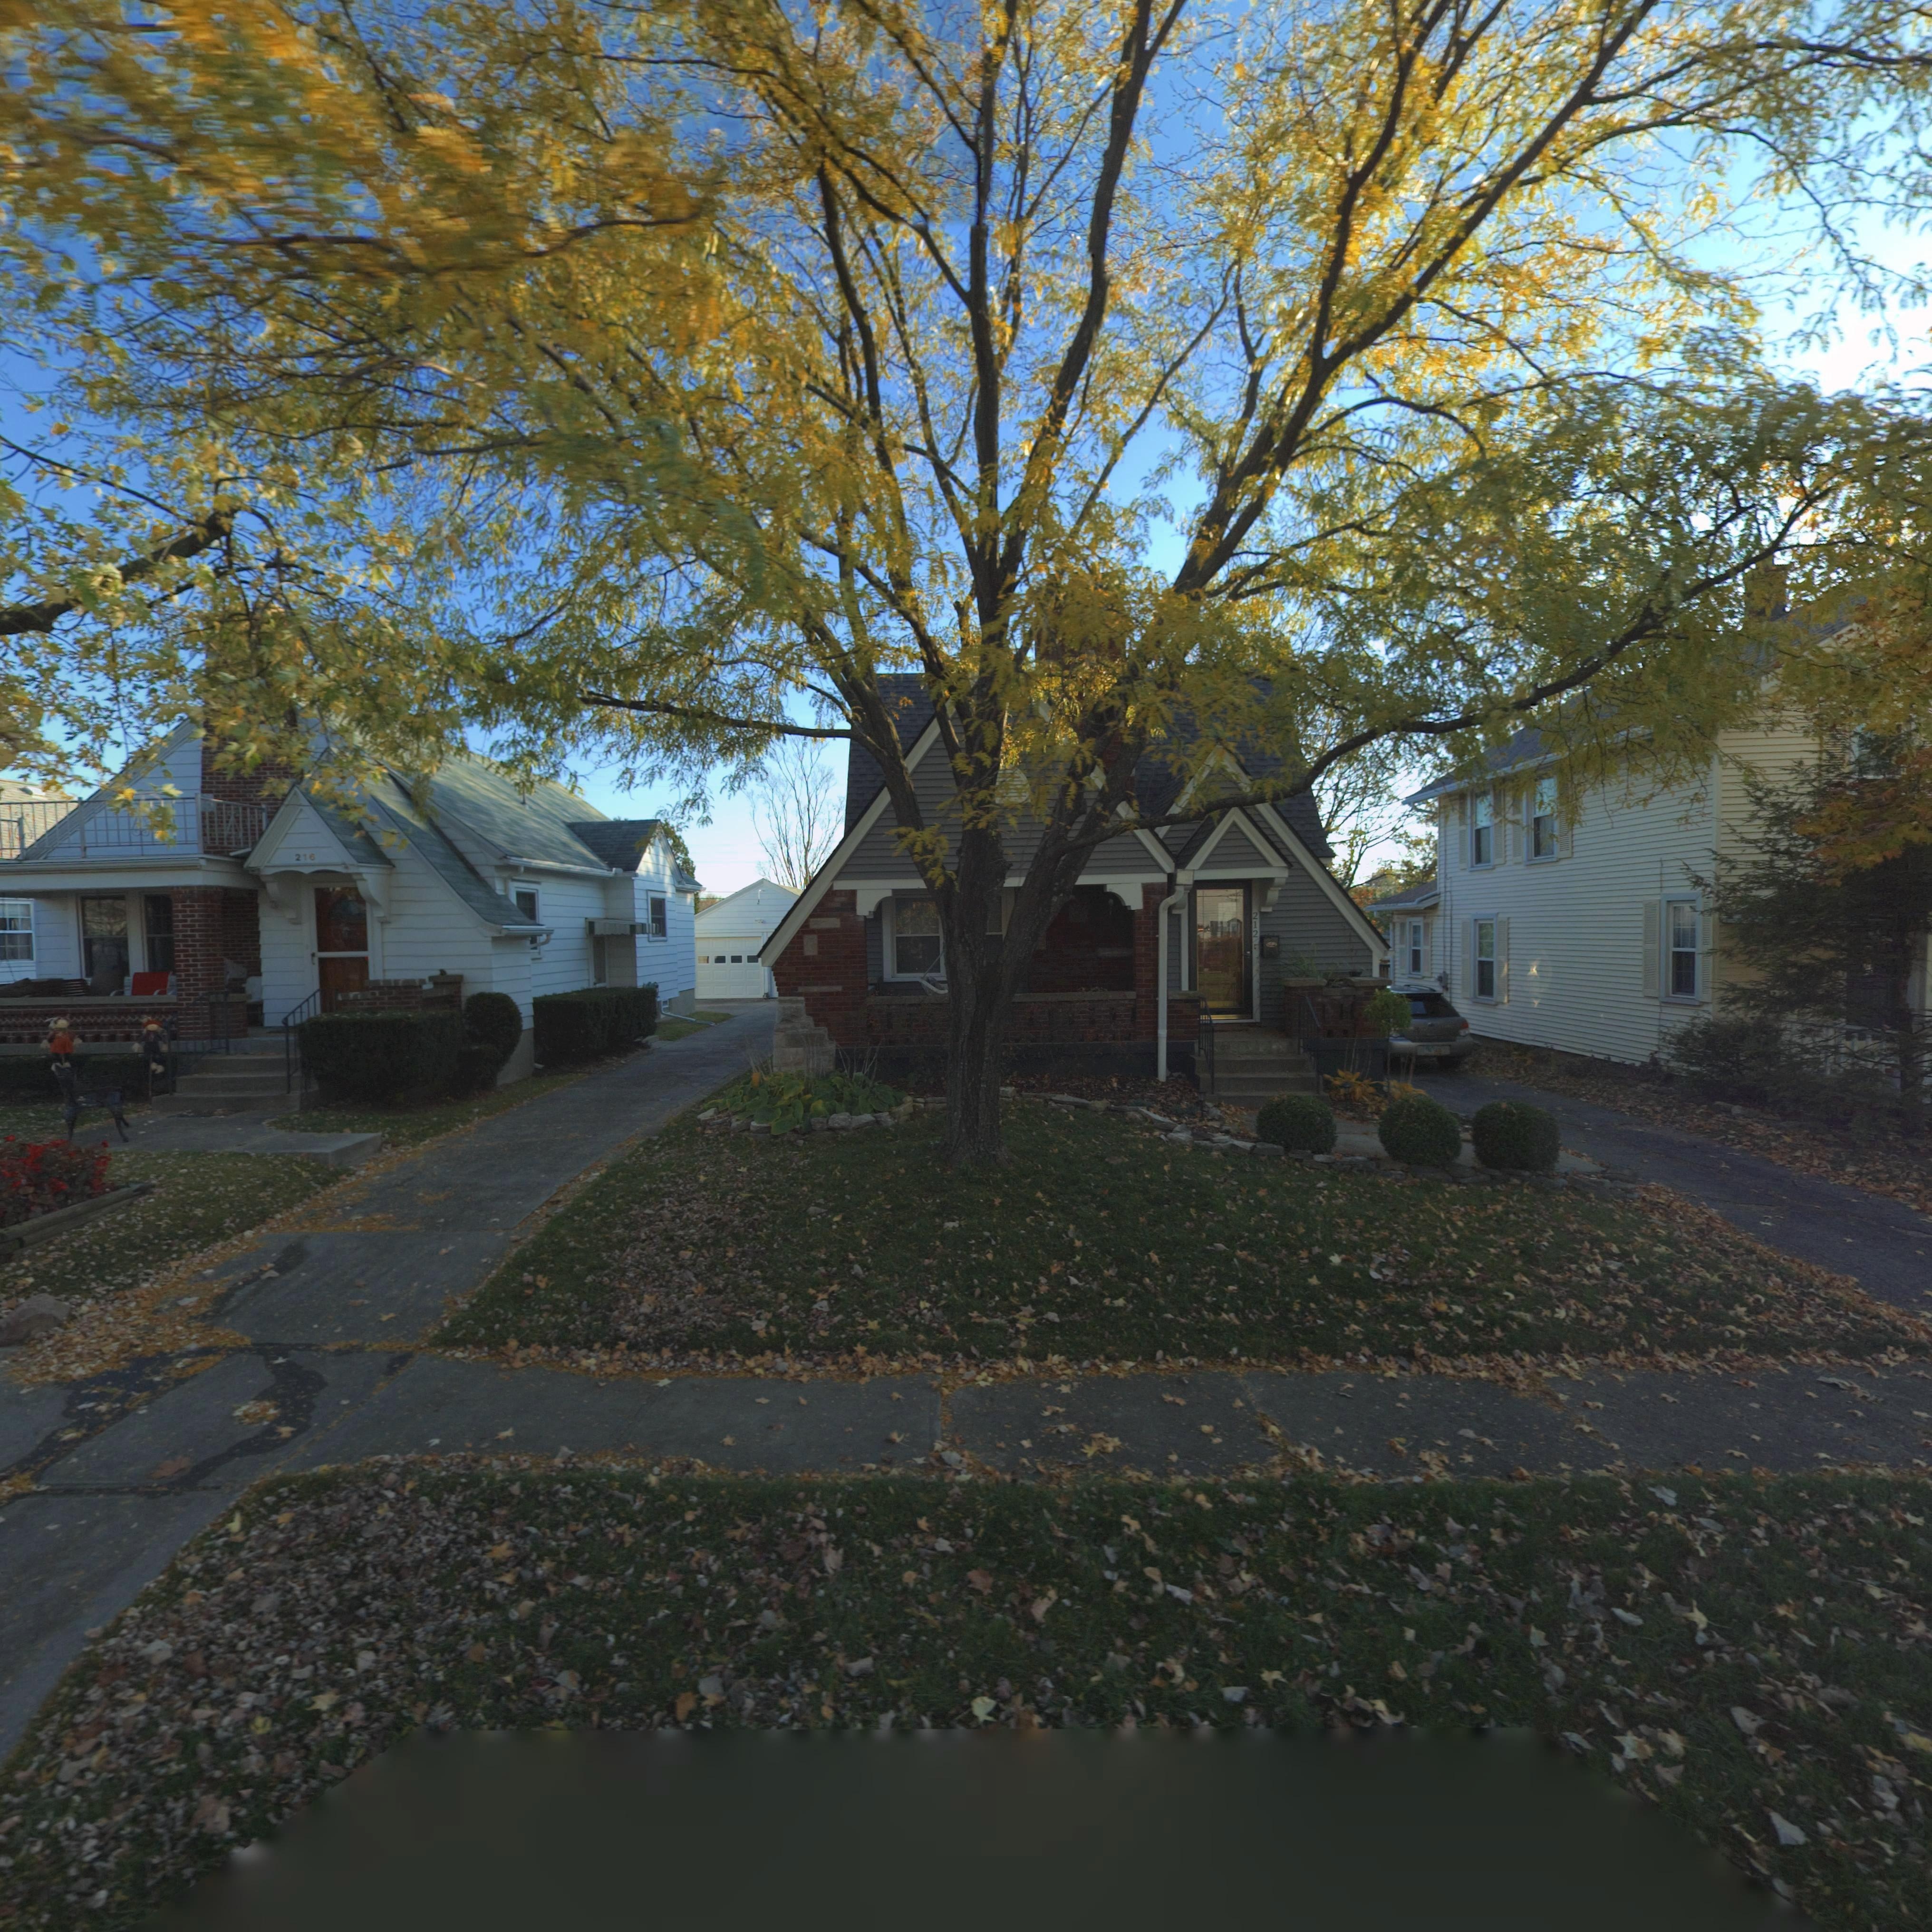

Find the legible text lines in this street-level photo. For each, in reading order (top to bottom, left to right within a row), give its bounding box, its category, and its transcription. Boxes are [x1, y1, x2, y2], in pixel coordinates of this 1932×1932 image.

[294, 853, 316, 861] StreetNumber: 216
[1252, 912, 1259, 938] StreetNumber: 212